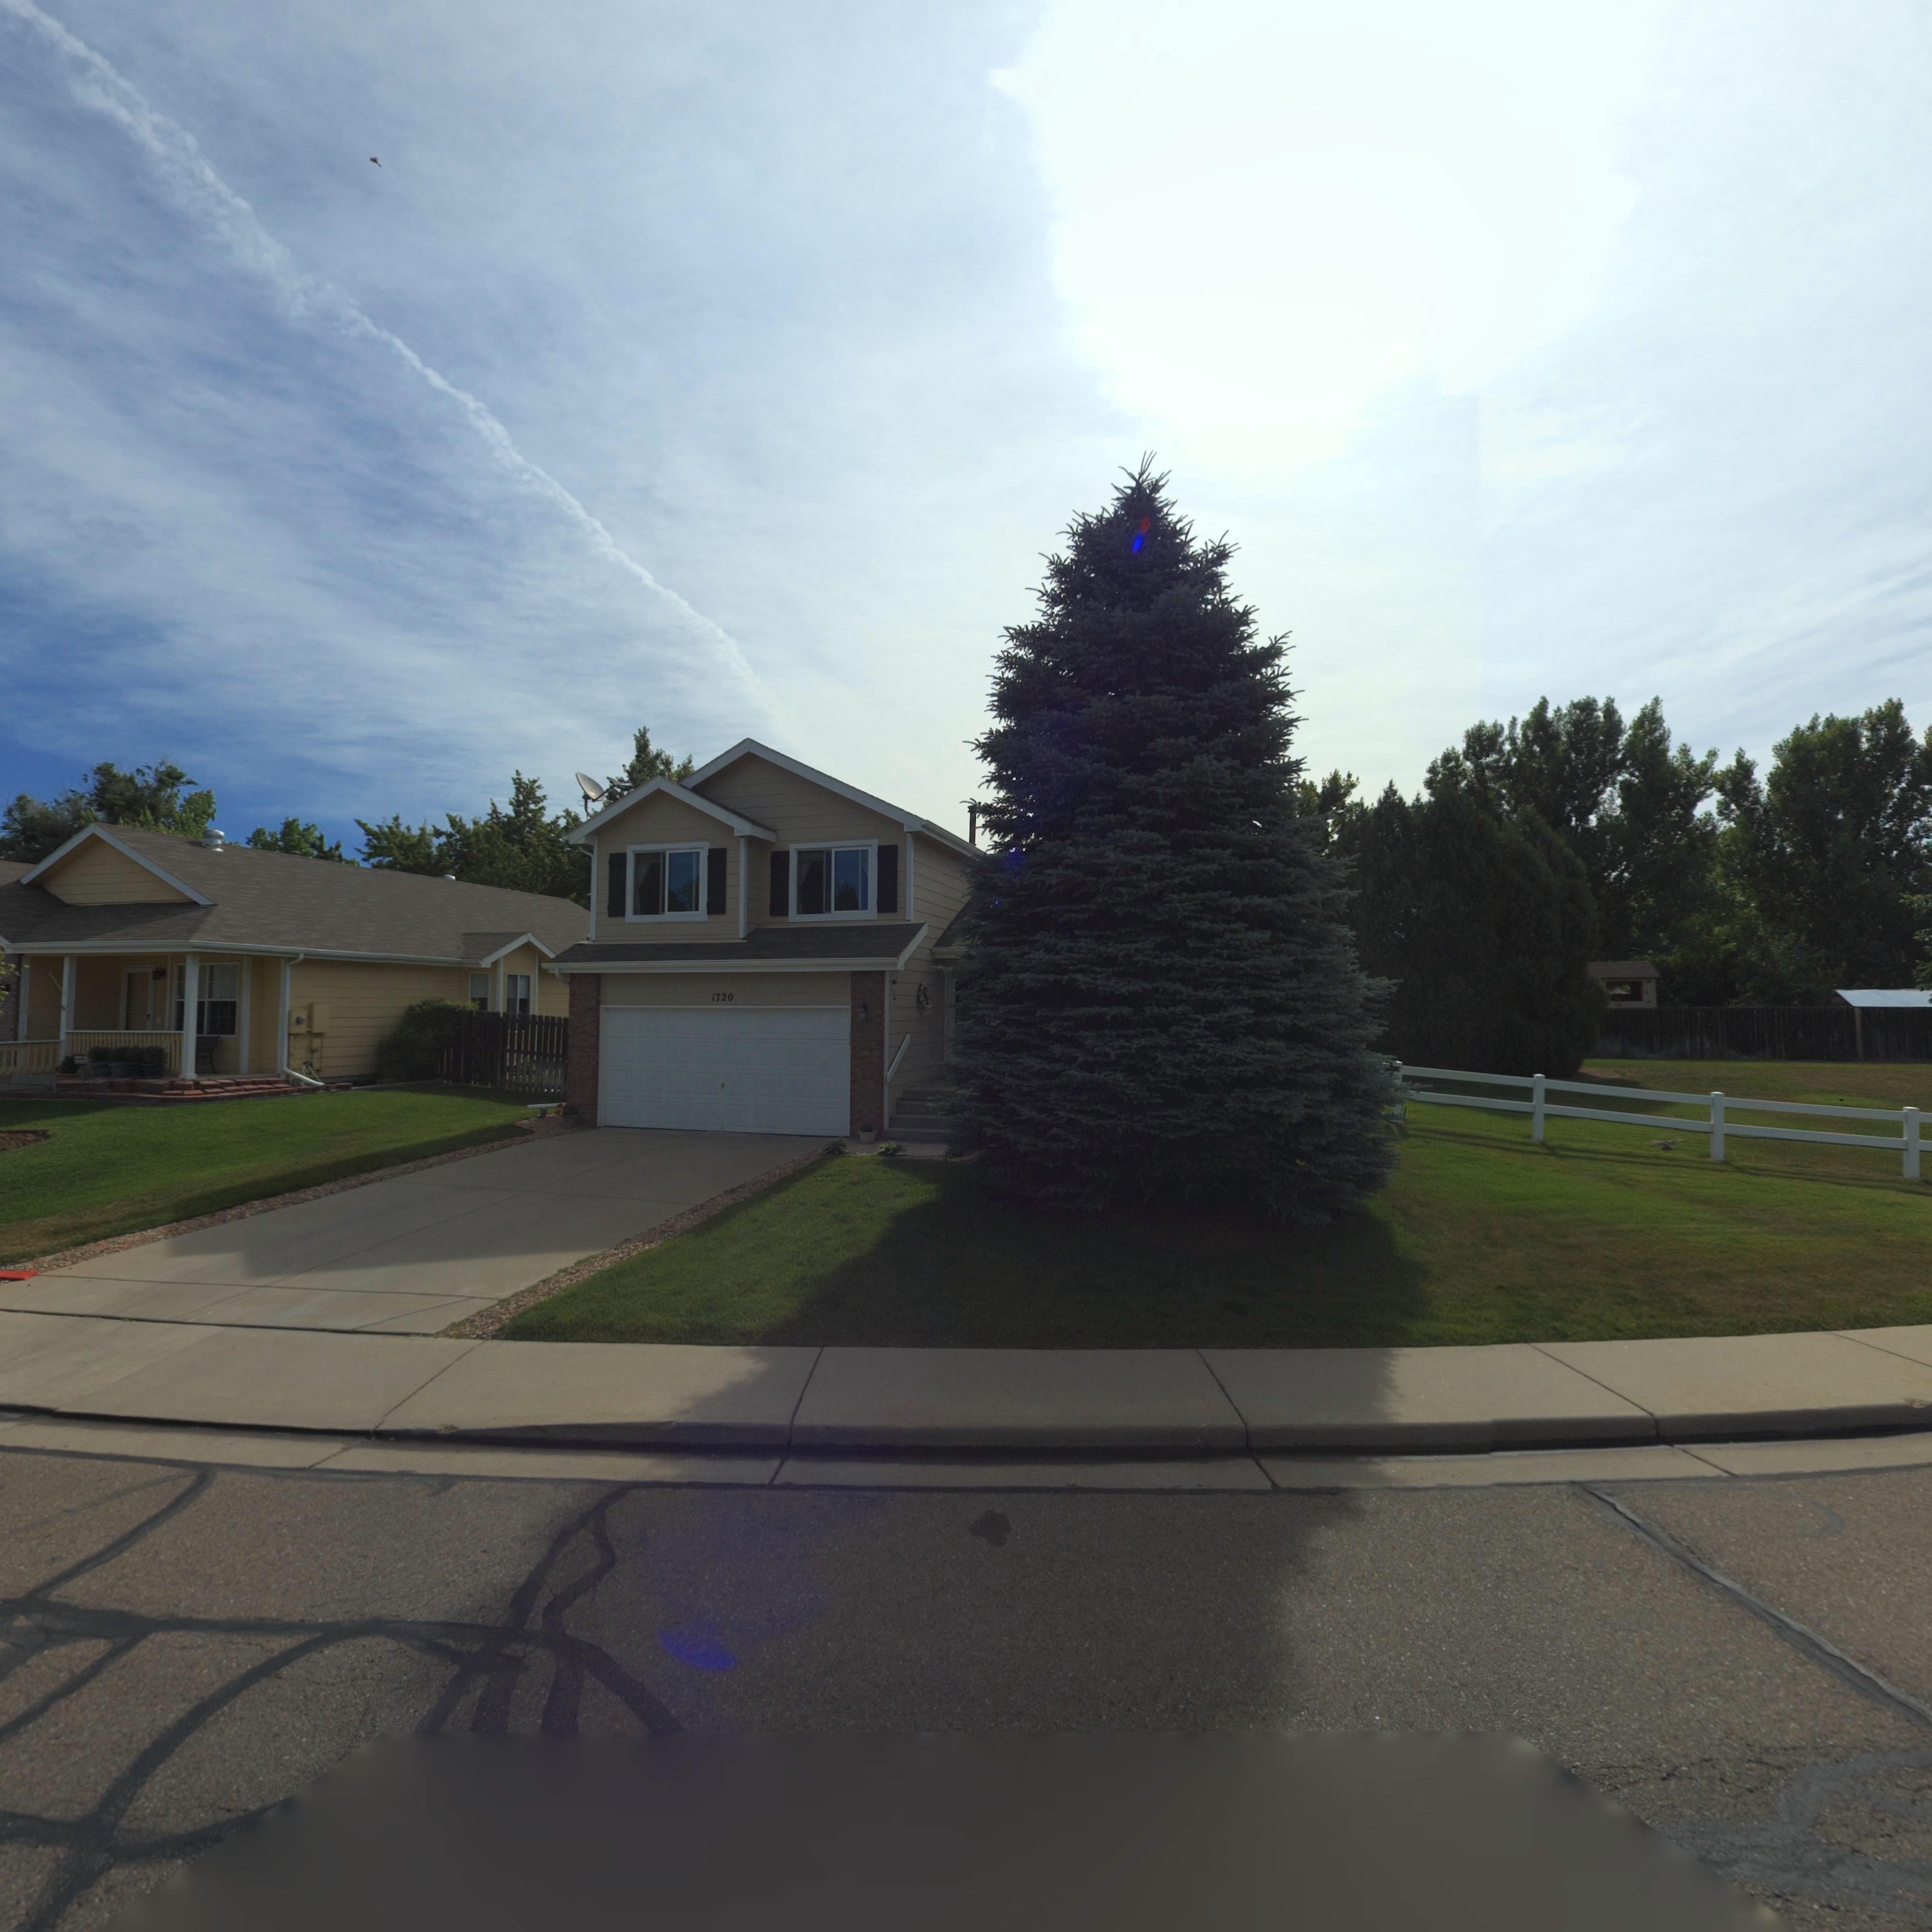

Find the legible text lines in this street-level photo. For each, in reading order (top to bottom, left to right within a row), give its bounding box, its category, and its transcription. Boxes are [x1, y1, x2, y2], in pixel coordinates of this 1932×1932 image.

[711, 993, 733, 1002] StreetNumber: 1720